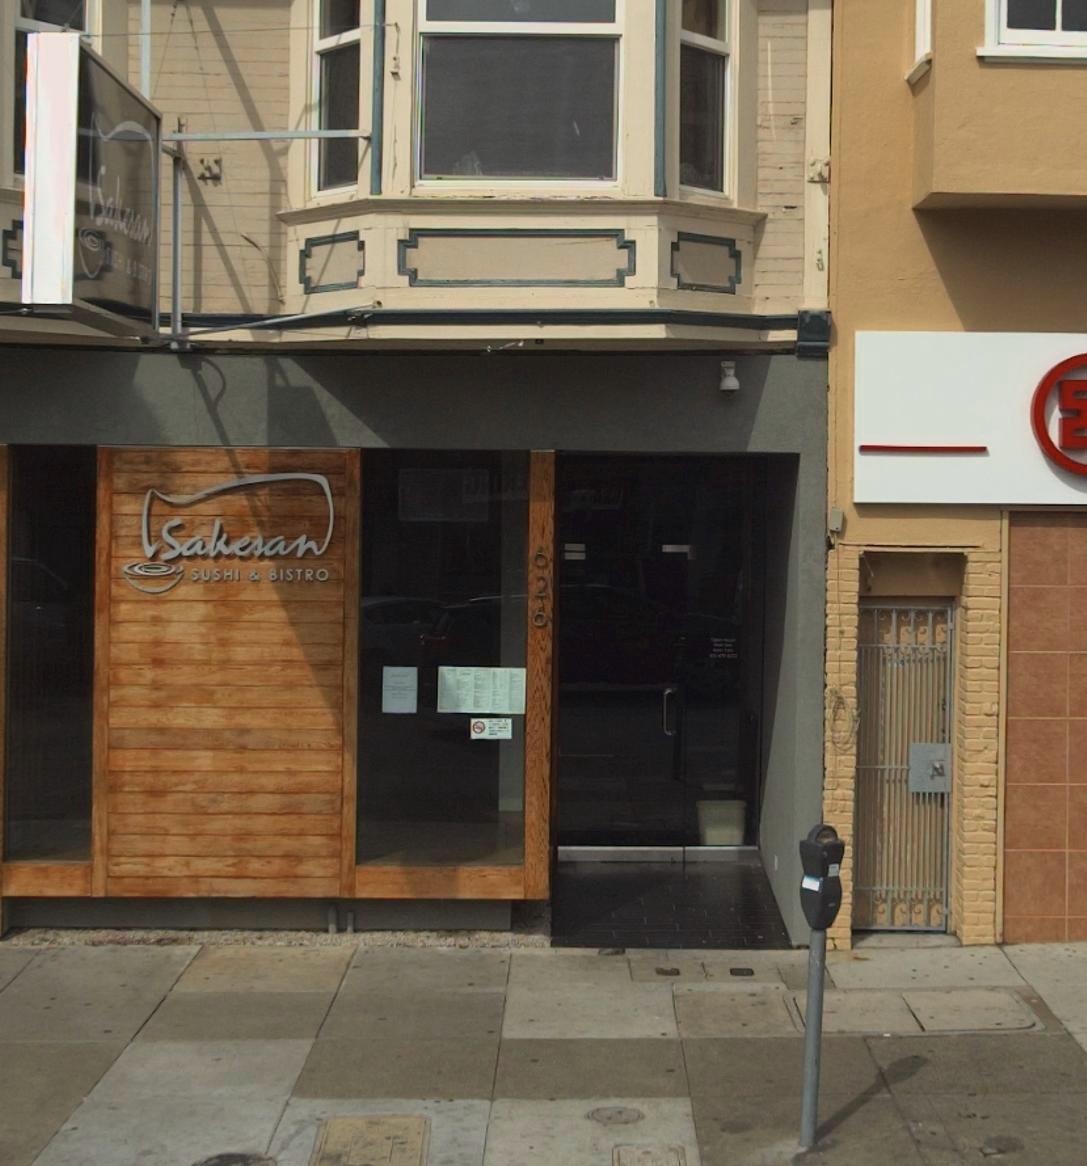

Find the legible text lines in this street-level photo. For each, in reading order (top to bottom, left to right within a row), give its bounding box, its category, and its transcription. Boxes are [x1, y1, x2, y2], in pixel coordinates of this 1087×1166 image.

[93, 163, 153, 249] BusinessName: Sakesan
[158, 516, 320, 562] BusinessName: Sakesan
[189, 567, 329, 582] BusinessName: SUSHI & BISTRO
[532, 516, 550, 629] StreetNumber: 1626